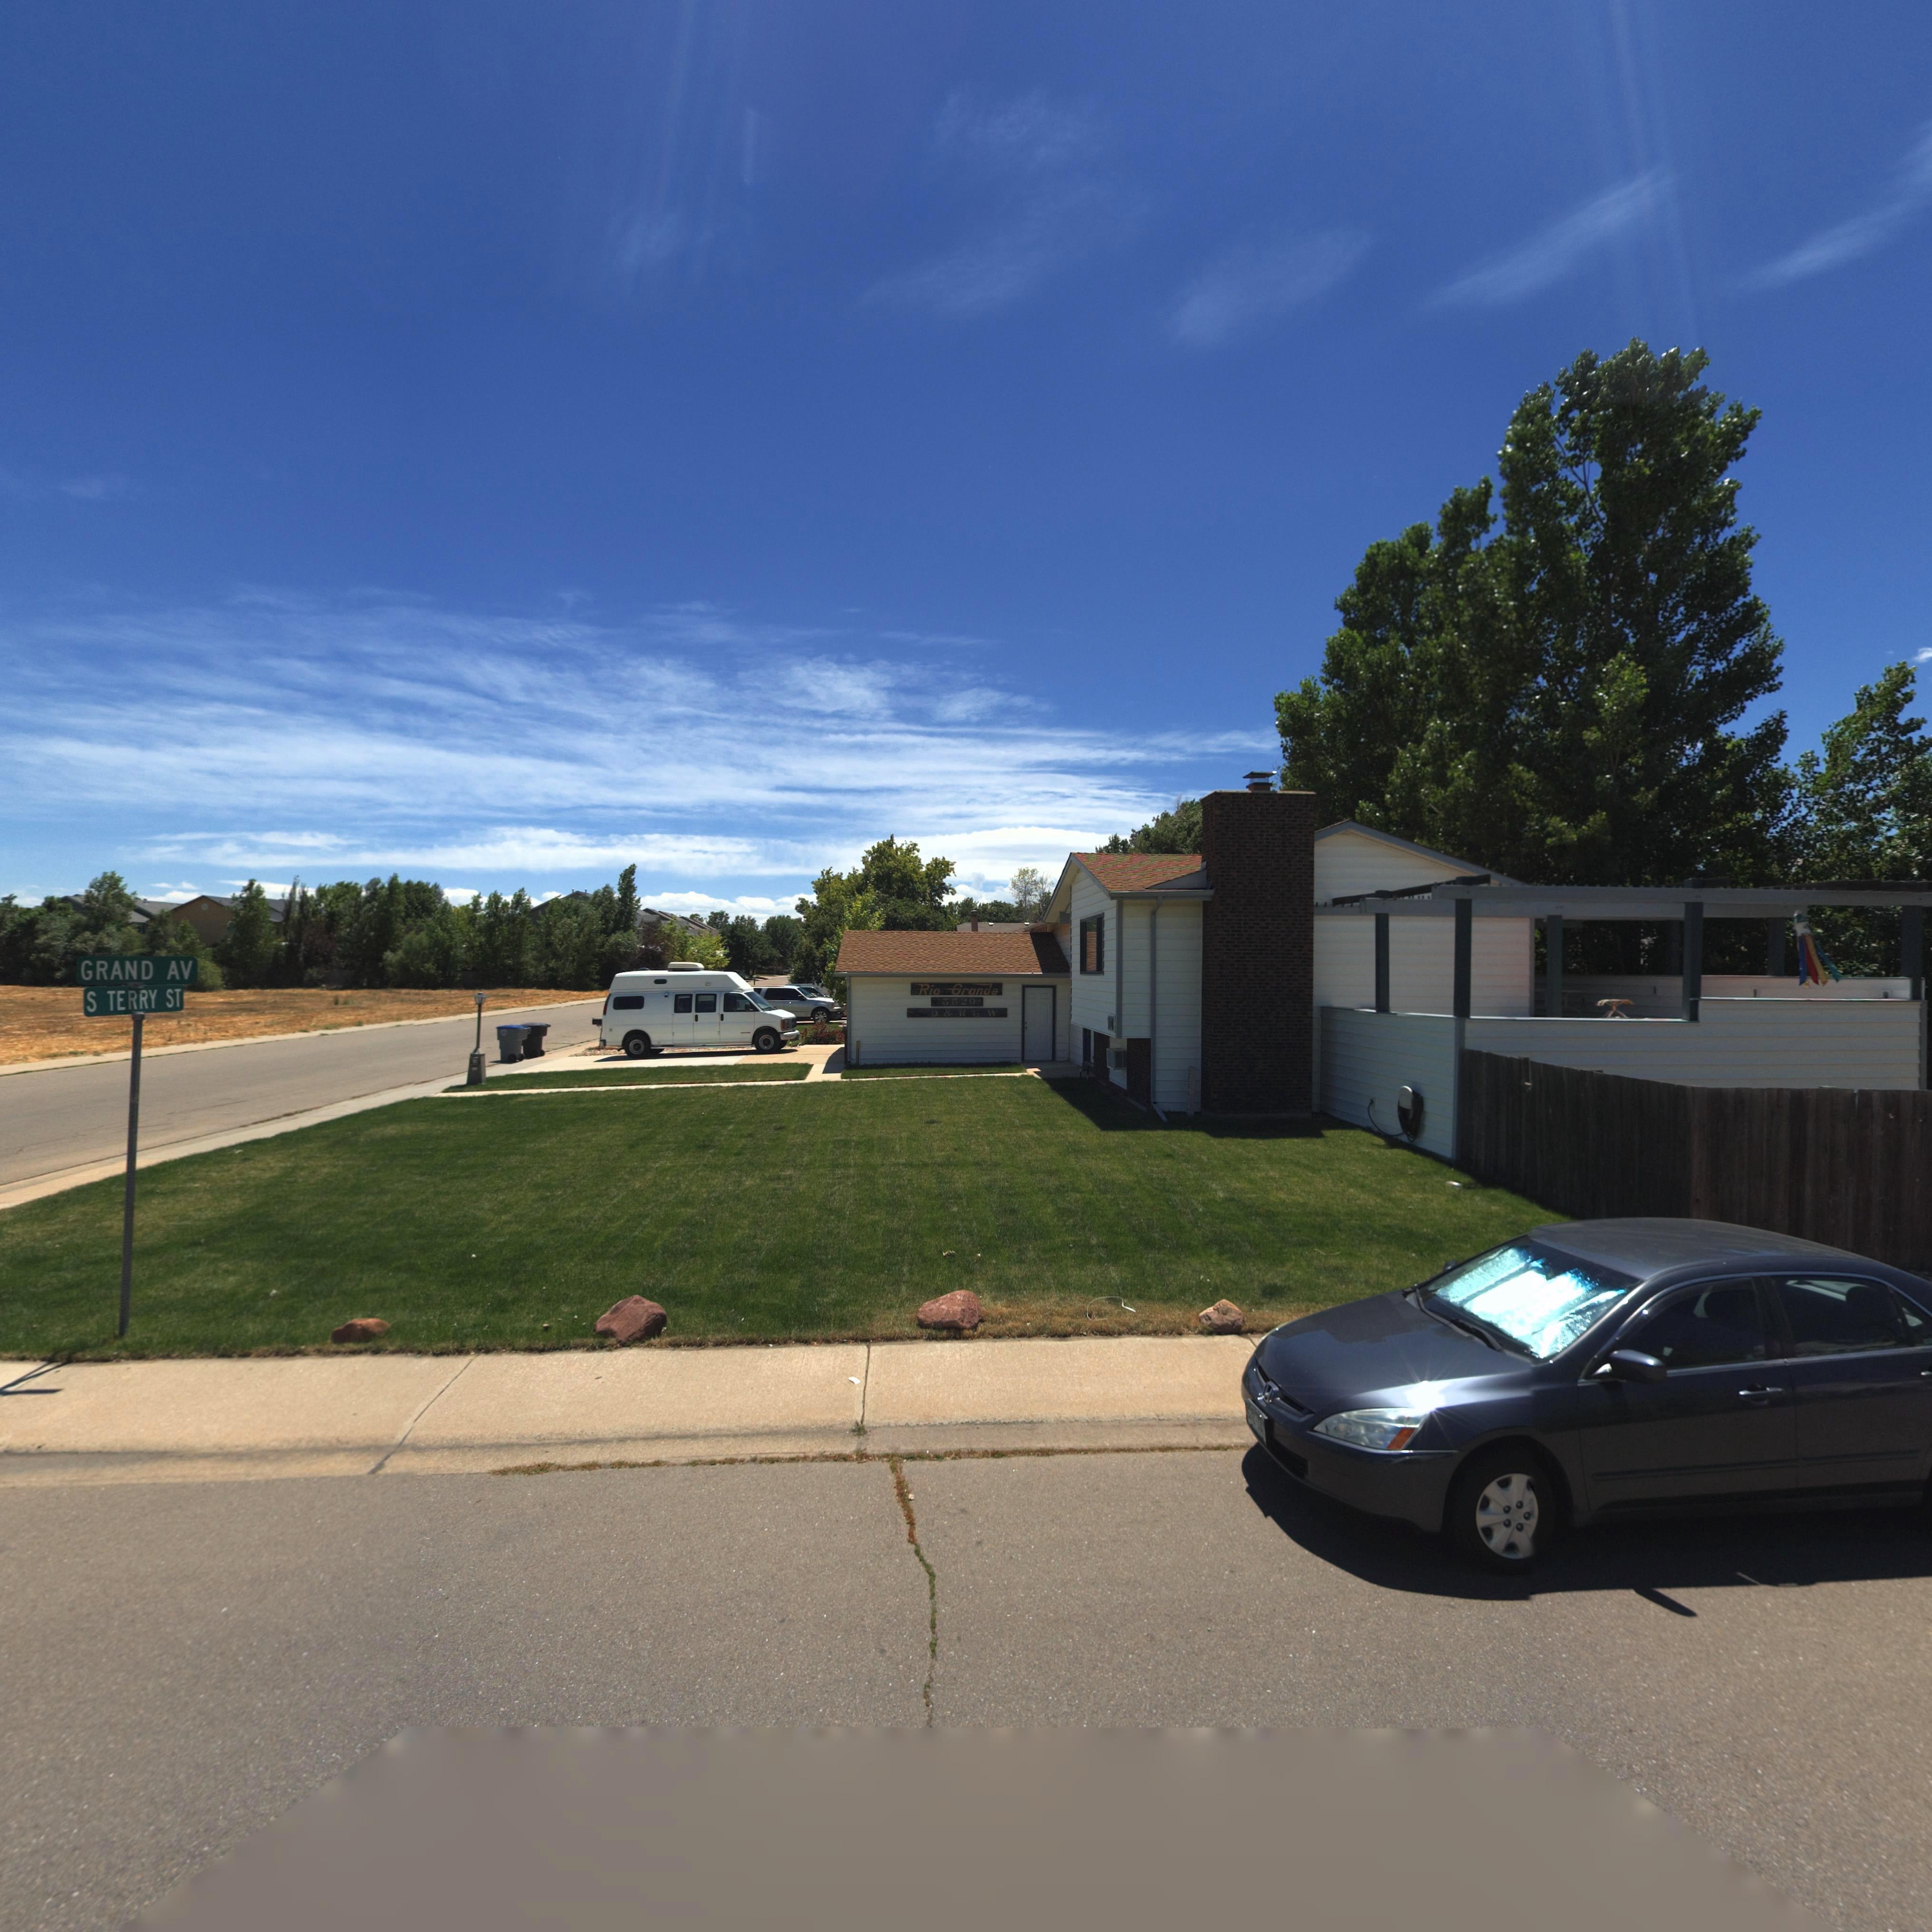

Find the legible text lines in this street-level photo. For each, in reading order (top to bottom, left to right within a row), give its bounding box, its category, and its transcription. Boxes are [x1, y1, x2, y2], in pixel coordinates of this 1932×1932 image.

[80, 959, 194, 981] StreetName: GRAND AV
[85, 987, 182, 1013] StreetName: S TERRY ST
[1107, 1017, 1113, 1030] StreetNumber: *01